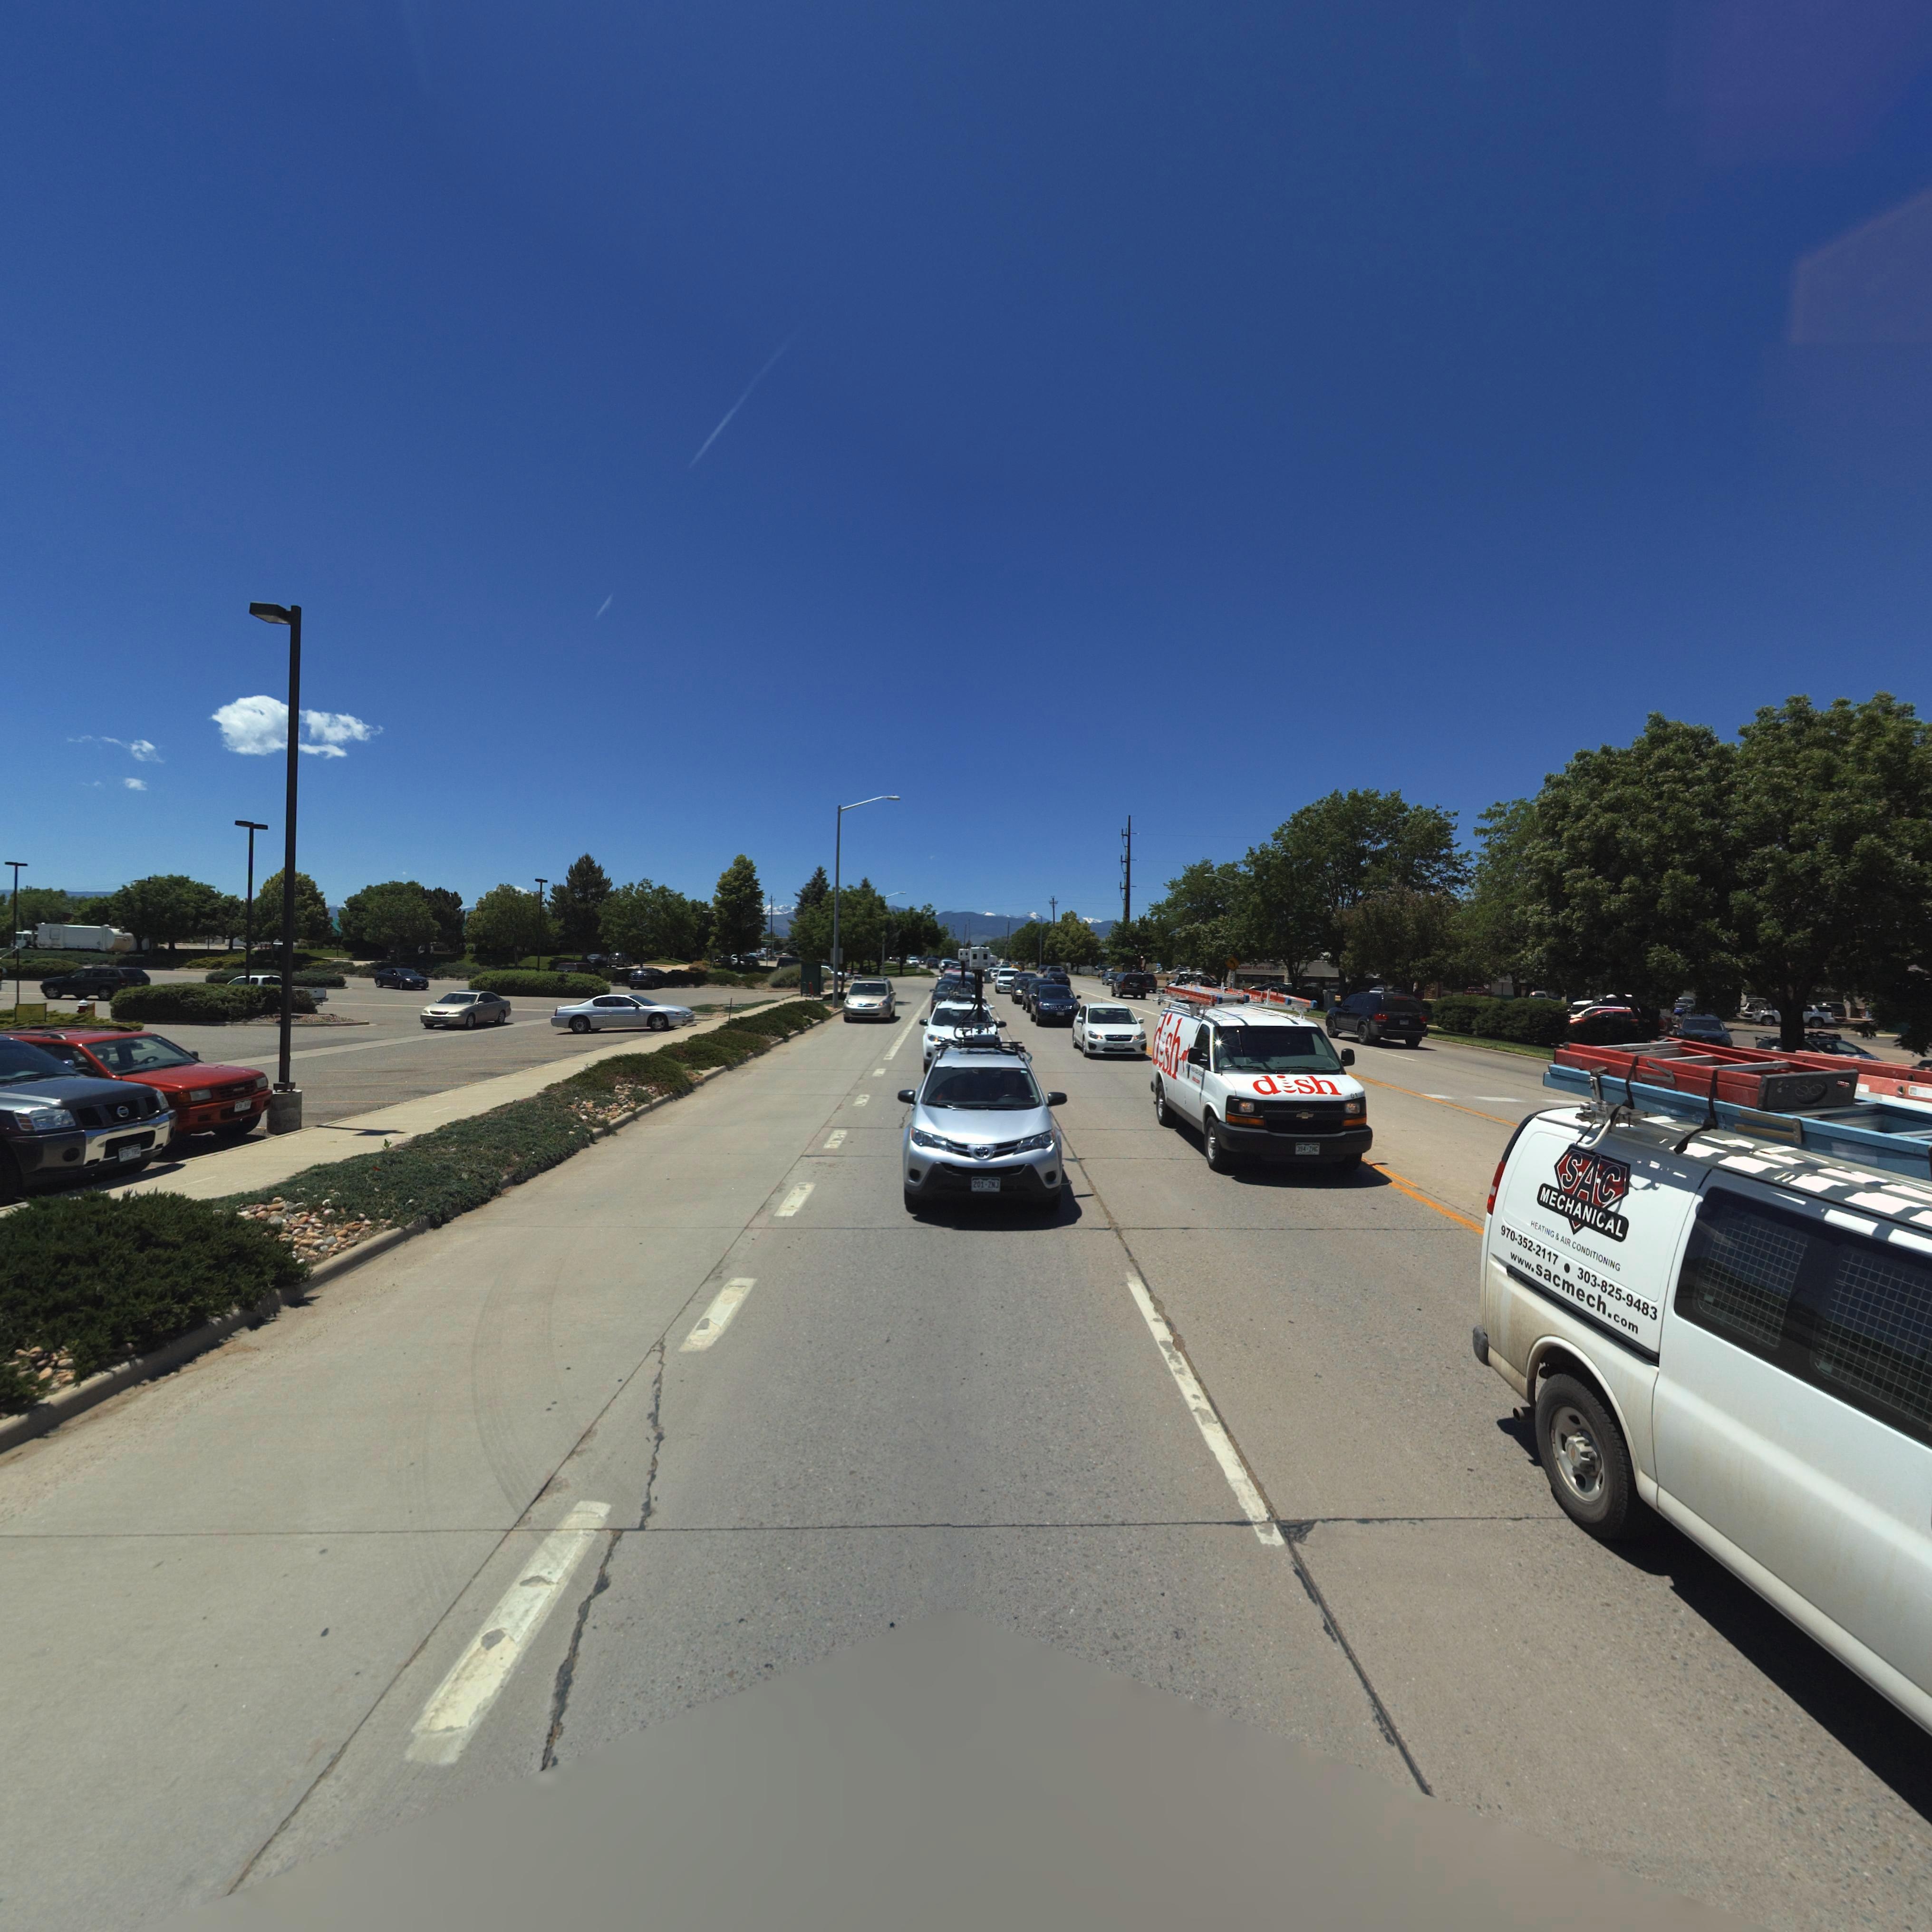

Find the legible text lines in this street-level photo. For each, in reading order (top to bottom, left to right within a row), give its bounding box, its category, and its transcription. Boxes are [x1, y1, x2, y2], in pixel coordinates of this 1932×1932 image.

[1236, 965, 1280, 970] BusinessName: L****O*T ***L*T*C **** ****